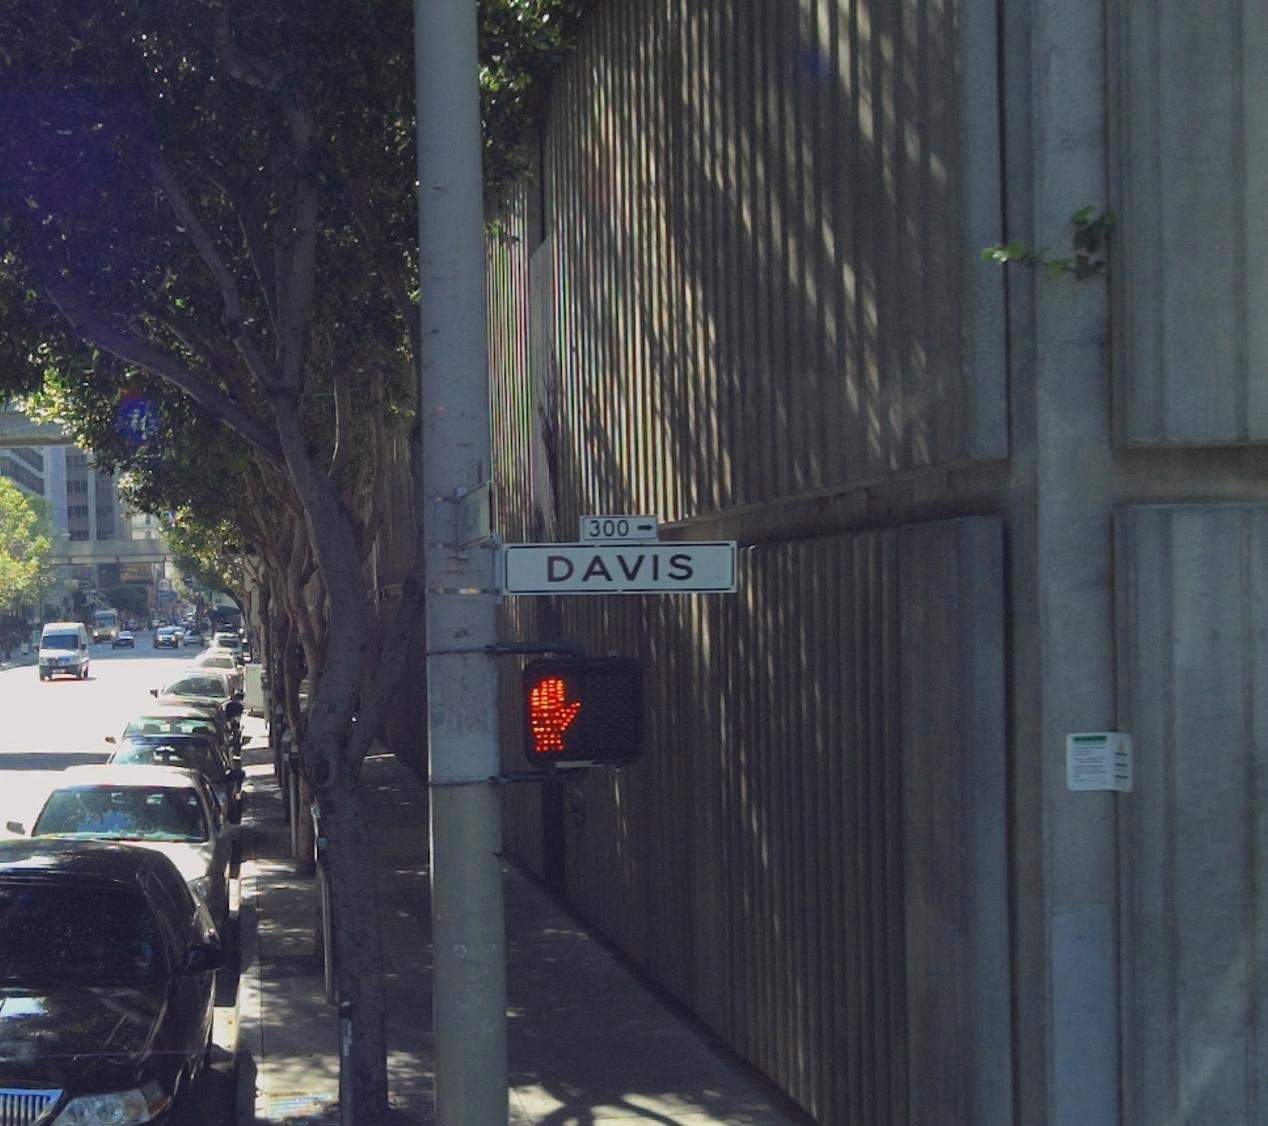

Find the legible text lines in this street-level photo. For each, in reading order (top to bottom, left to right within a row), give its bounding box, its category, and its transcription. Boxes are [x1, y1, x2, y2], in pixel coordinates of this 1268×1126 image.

[587, 517, 655, 540] StreetNumberRange: 300->
[545, 552, 695, 584] StreetName: DAVIS